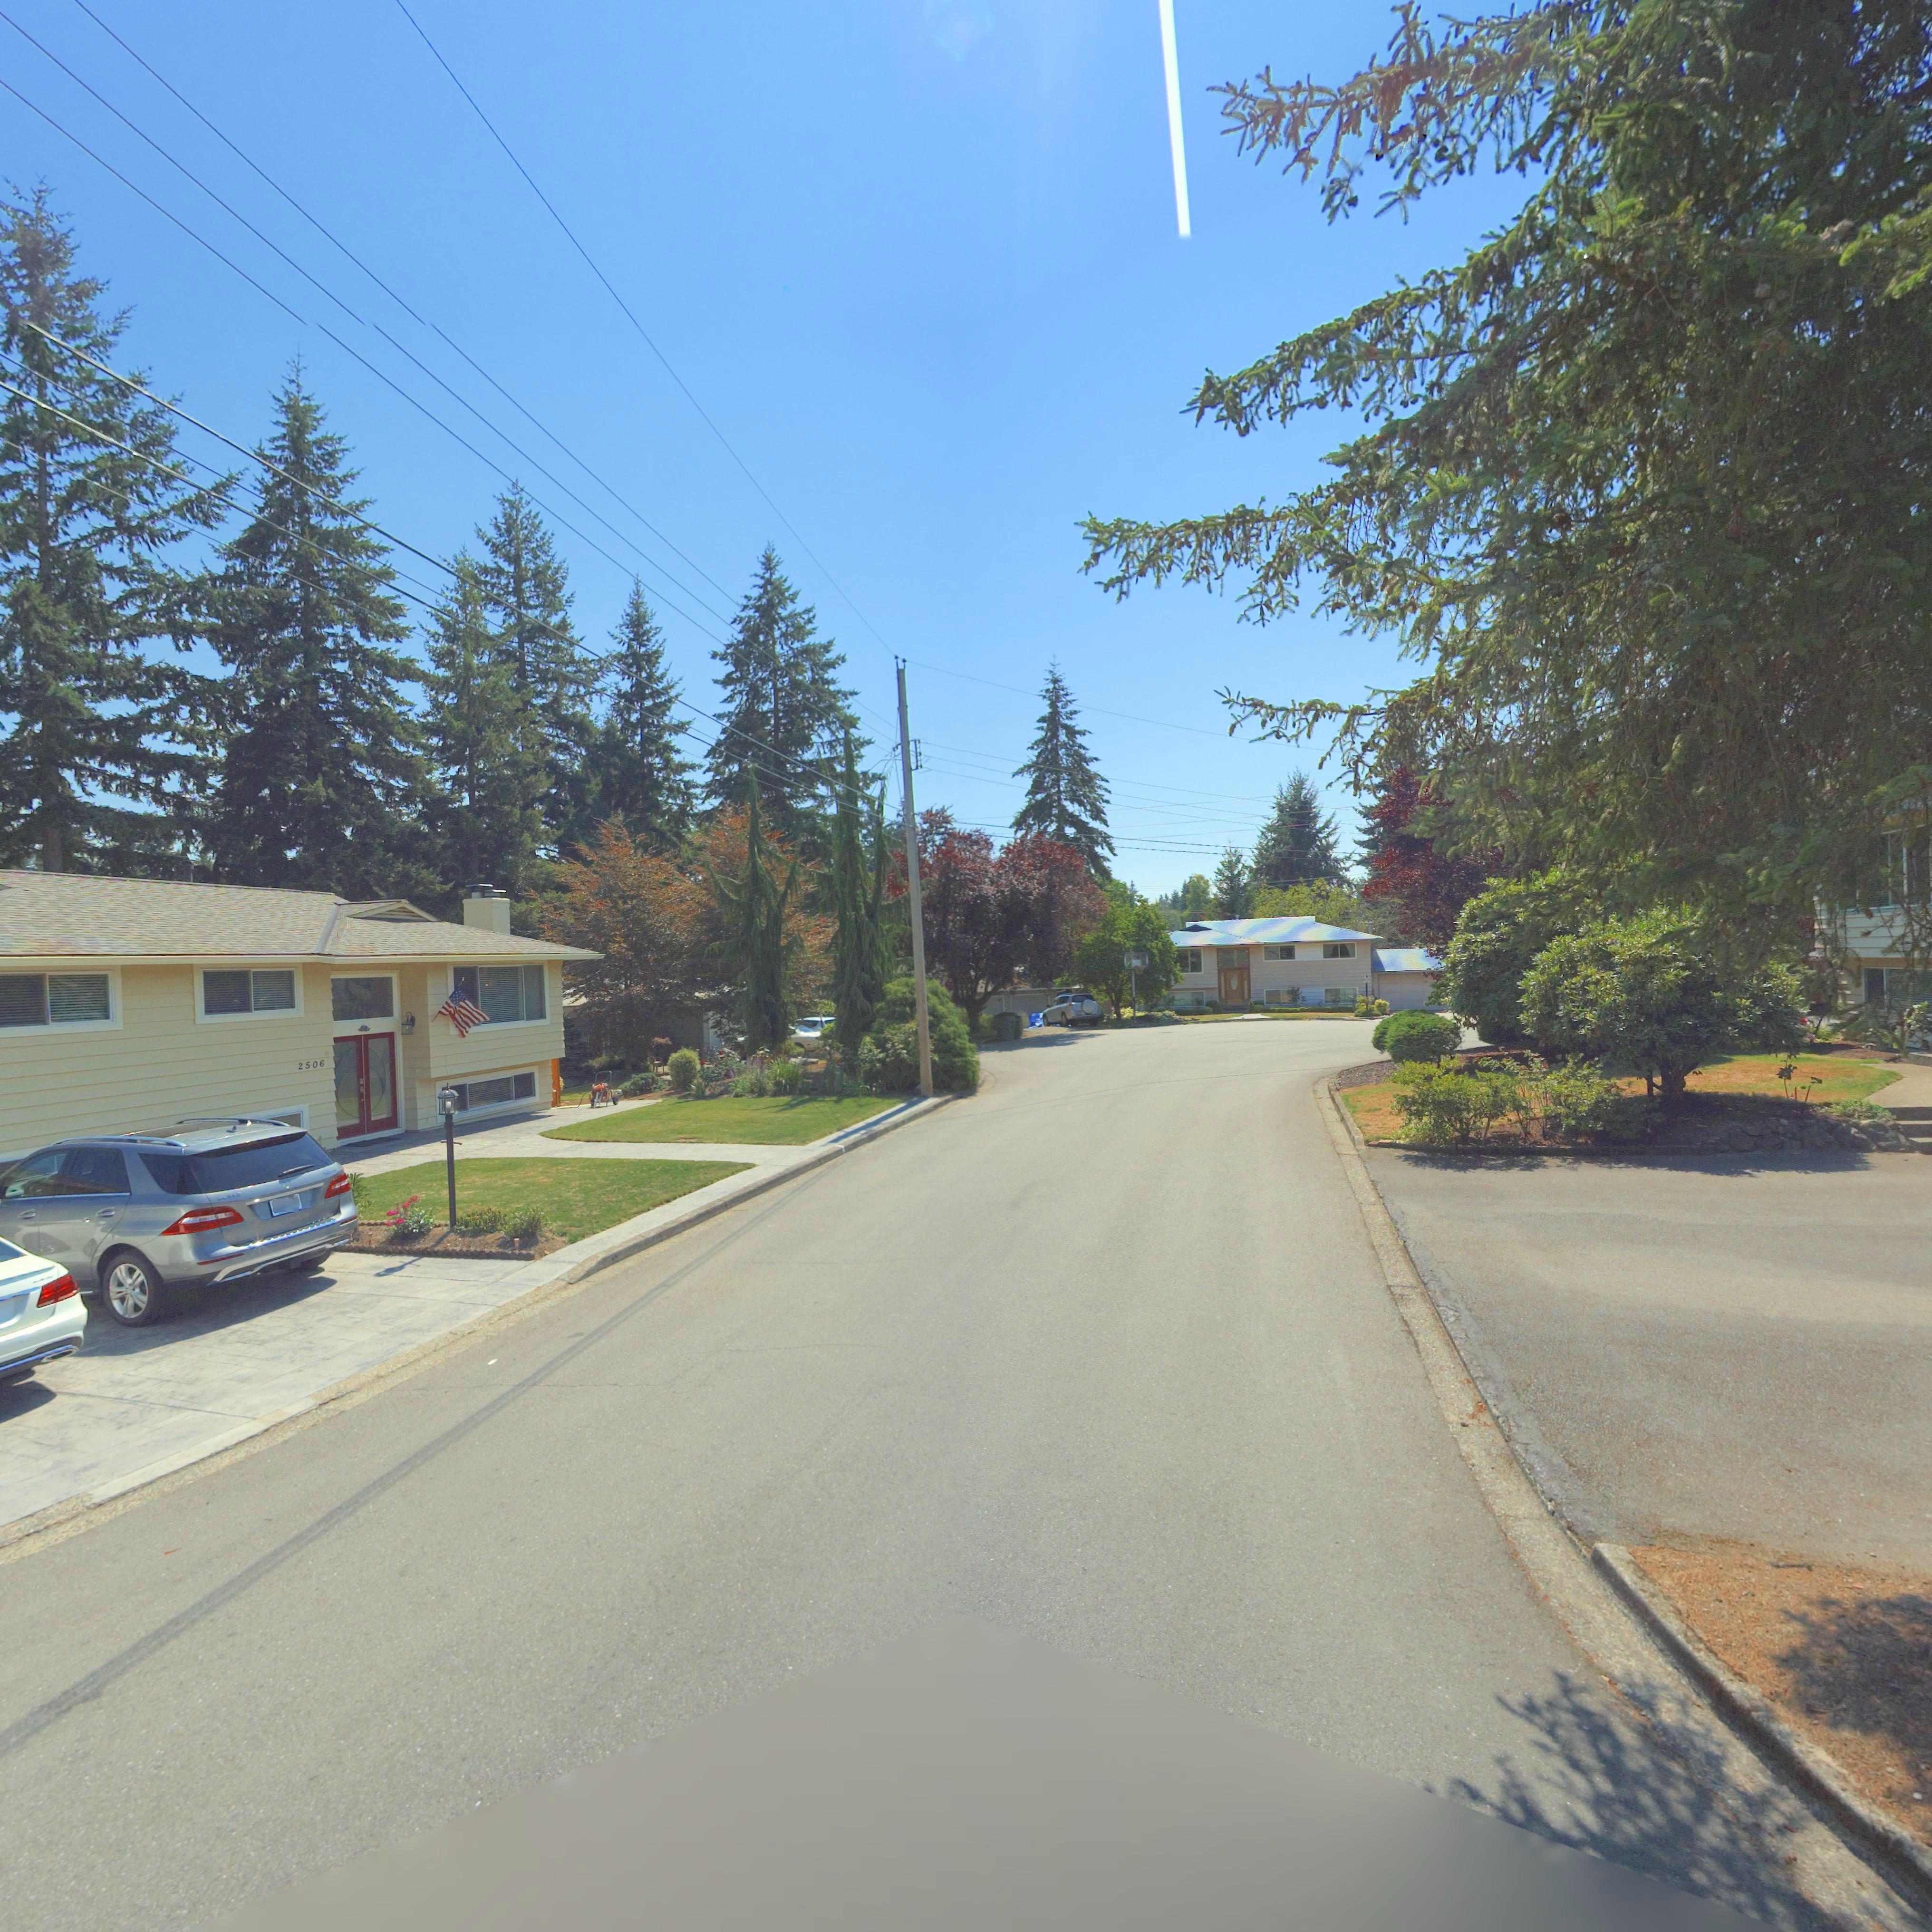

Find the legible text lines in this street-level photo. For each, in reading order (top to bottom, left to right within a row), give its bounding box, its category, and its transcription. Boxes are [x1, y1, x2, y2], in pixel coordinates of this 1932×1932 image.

[298, 1060, 324, 1070] StreetNumber: 2506